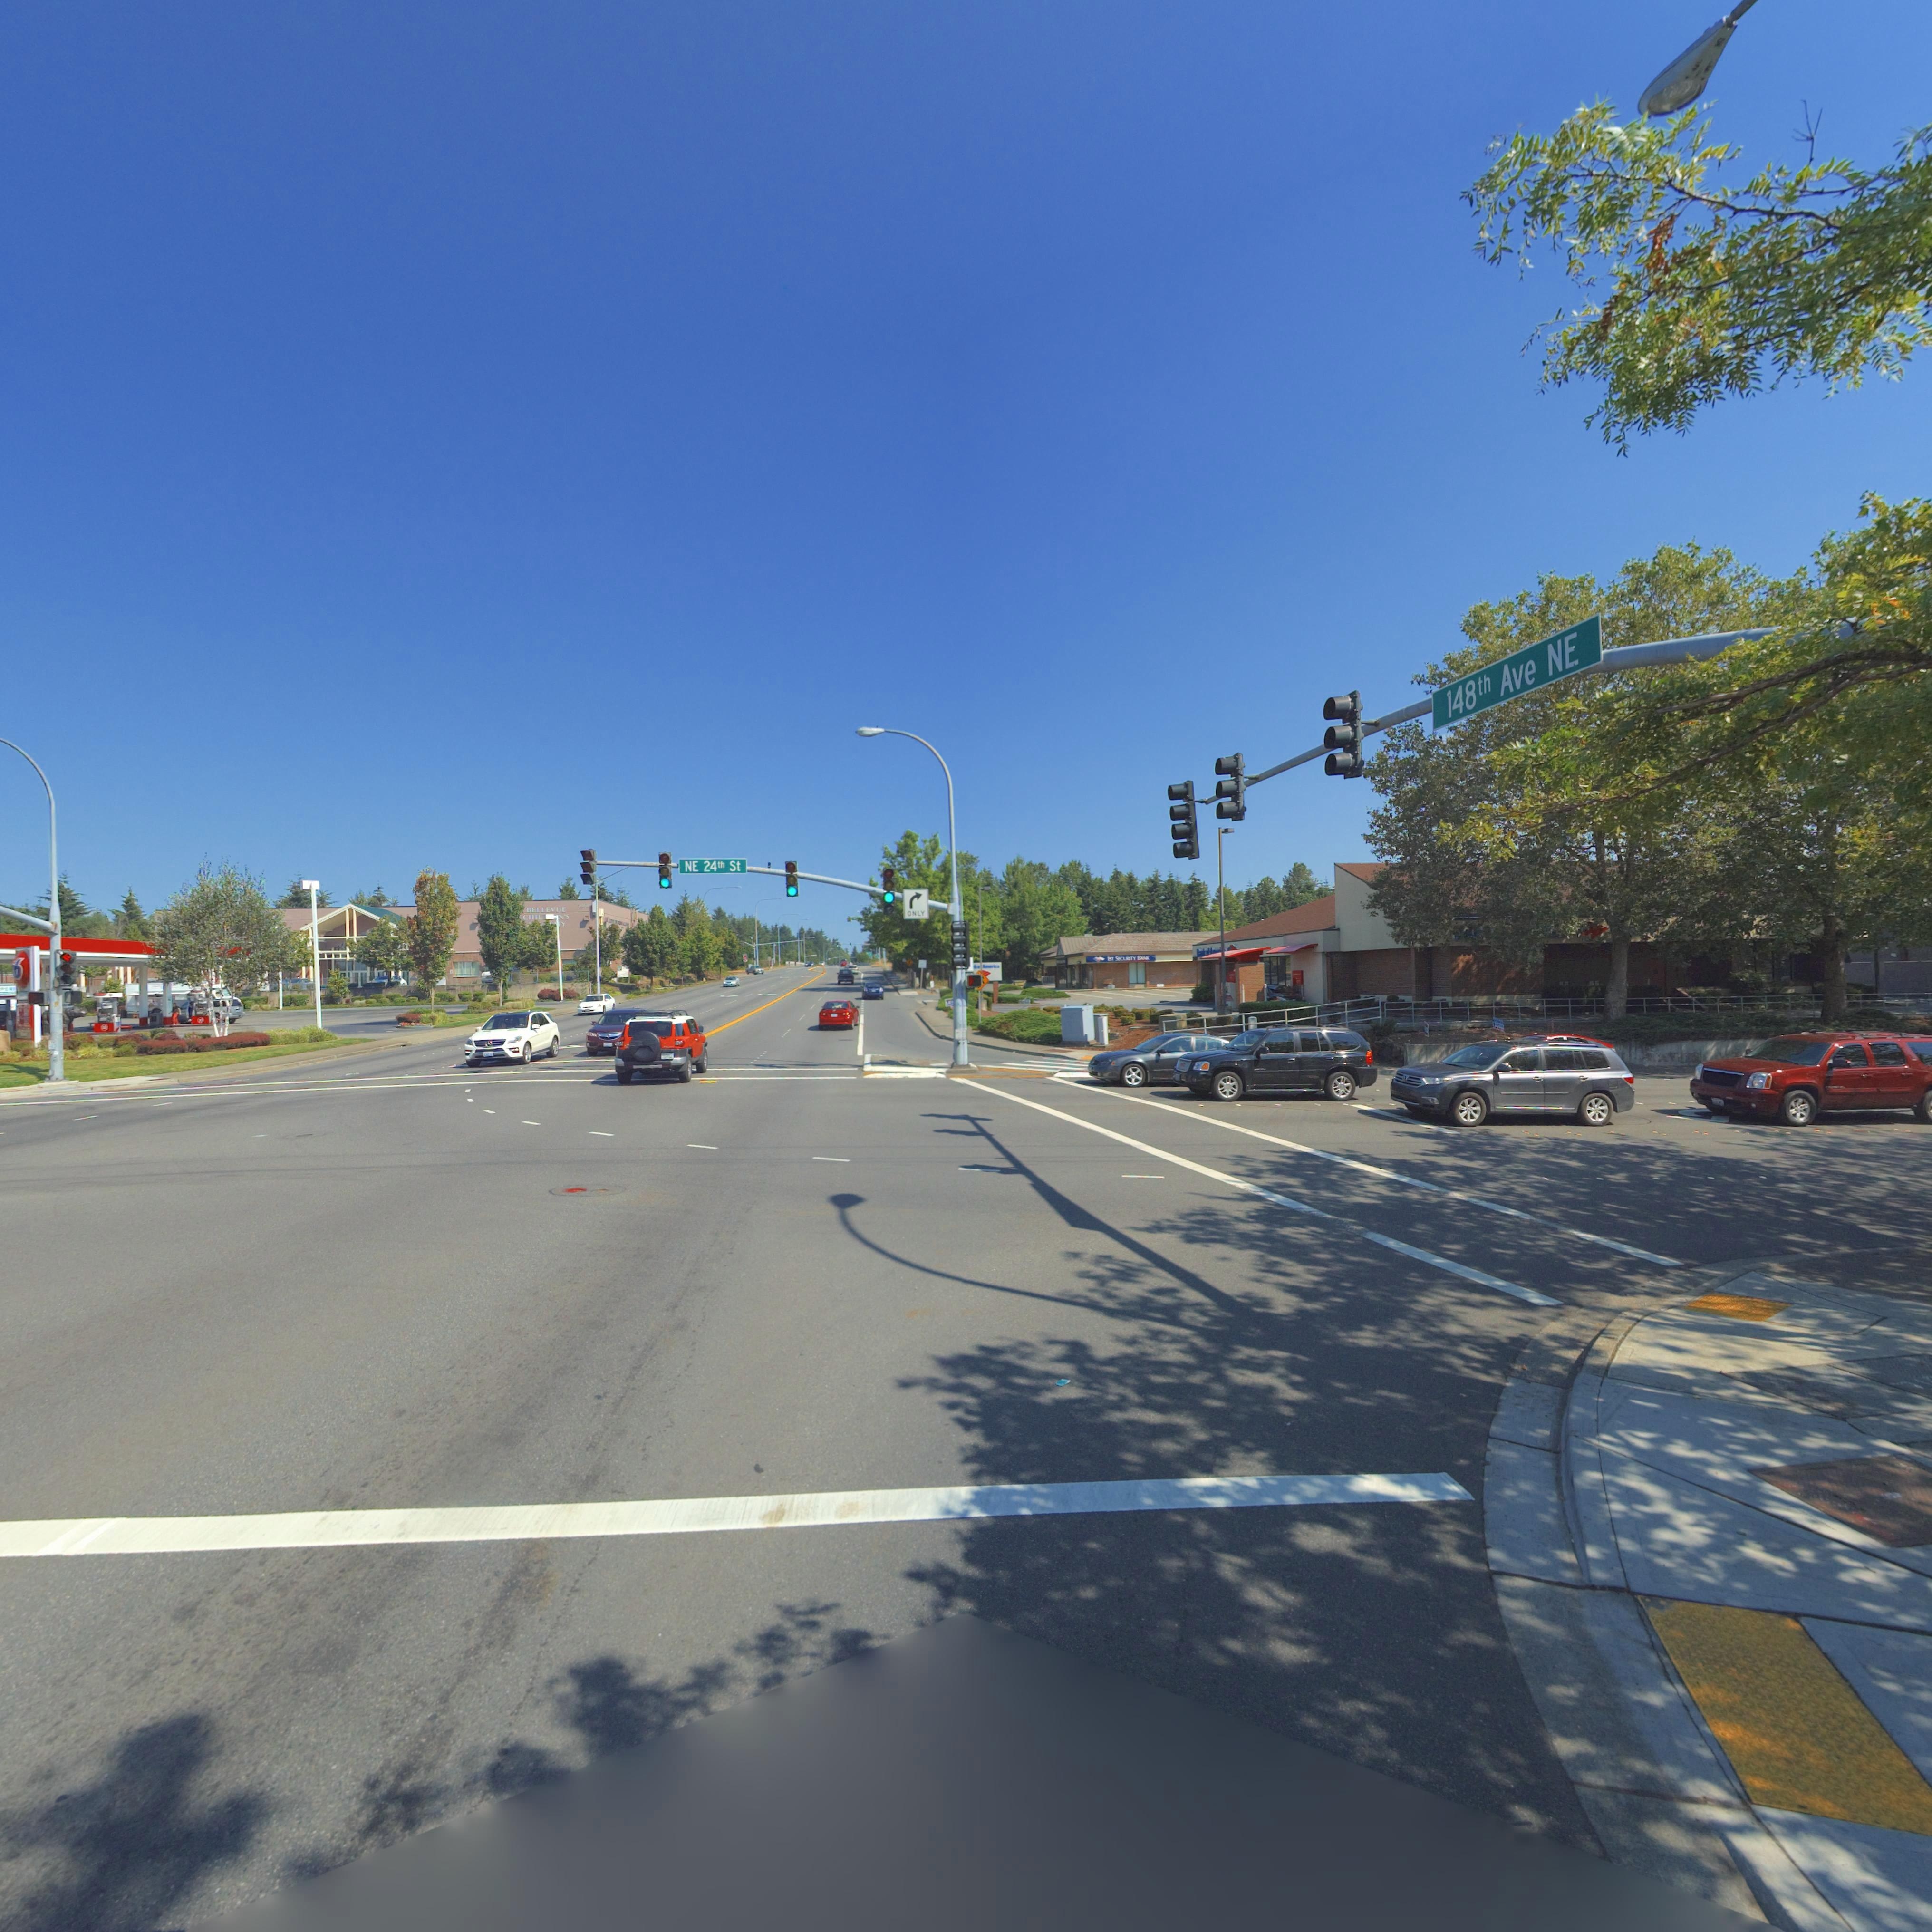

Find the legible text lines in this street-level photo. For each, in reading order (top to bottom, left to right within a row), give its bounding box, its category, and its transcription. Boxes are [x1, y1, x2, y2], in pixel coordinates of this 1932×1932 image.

[1446, 631, 1578, 717] StreetName: 148 th Ave NE
[686, 860, 741, 871] StreetName: NE 24th St
[526, 907, 565, 912] BusinessName: BELLEVUE
[523, 914, 569, 920] BusinessName: CHIL***N*S
[559, 921, 566, 927] BusinessName: *Y
[1107, 955, 1150, 960] BusinessName: 1ST SECU**TY B**K